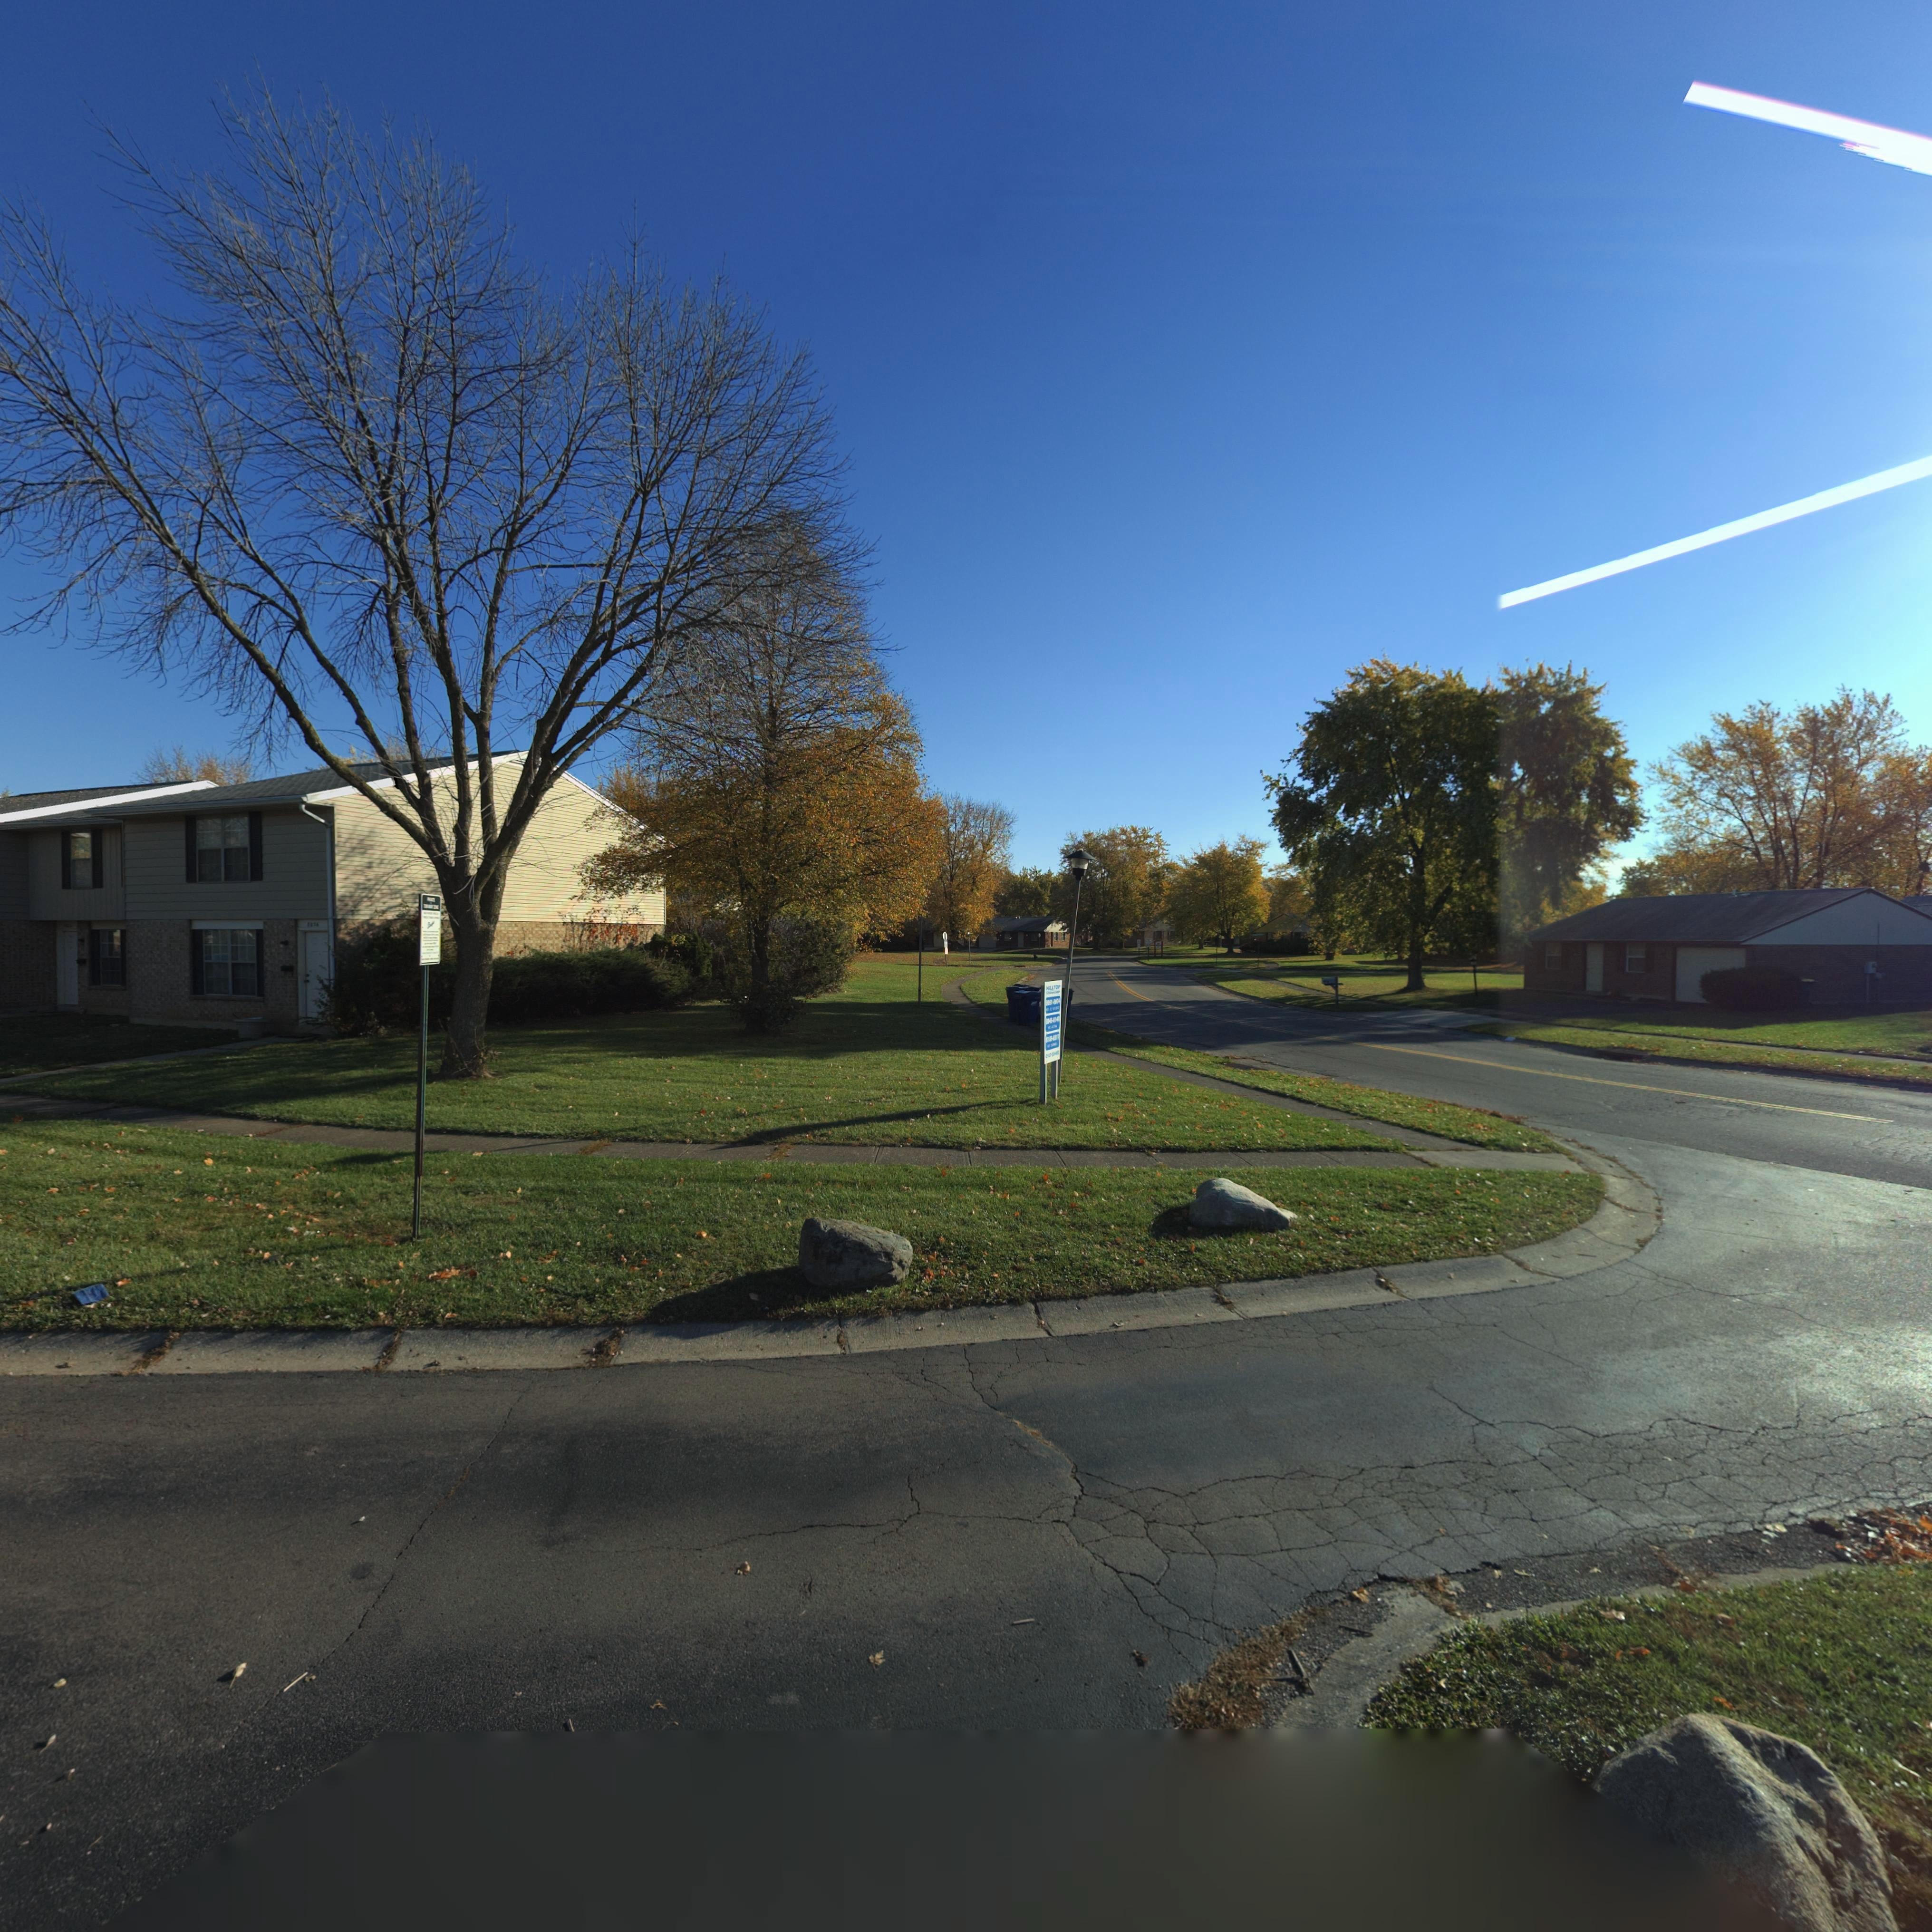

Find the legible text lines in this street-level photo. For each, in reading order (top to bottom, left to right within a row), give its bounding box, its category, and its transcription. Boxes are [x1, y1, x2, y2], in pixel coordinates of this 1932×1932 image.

[306, 922, 319, 927] StreetNumber: **36